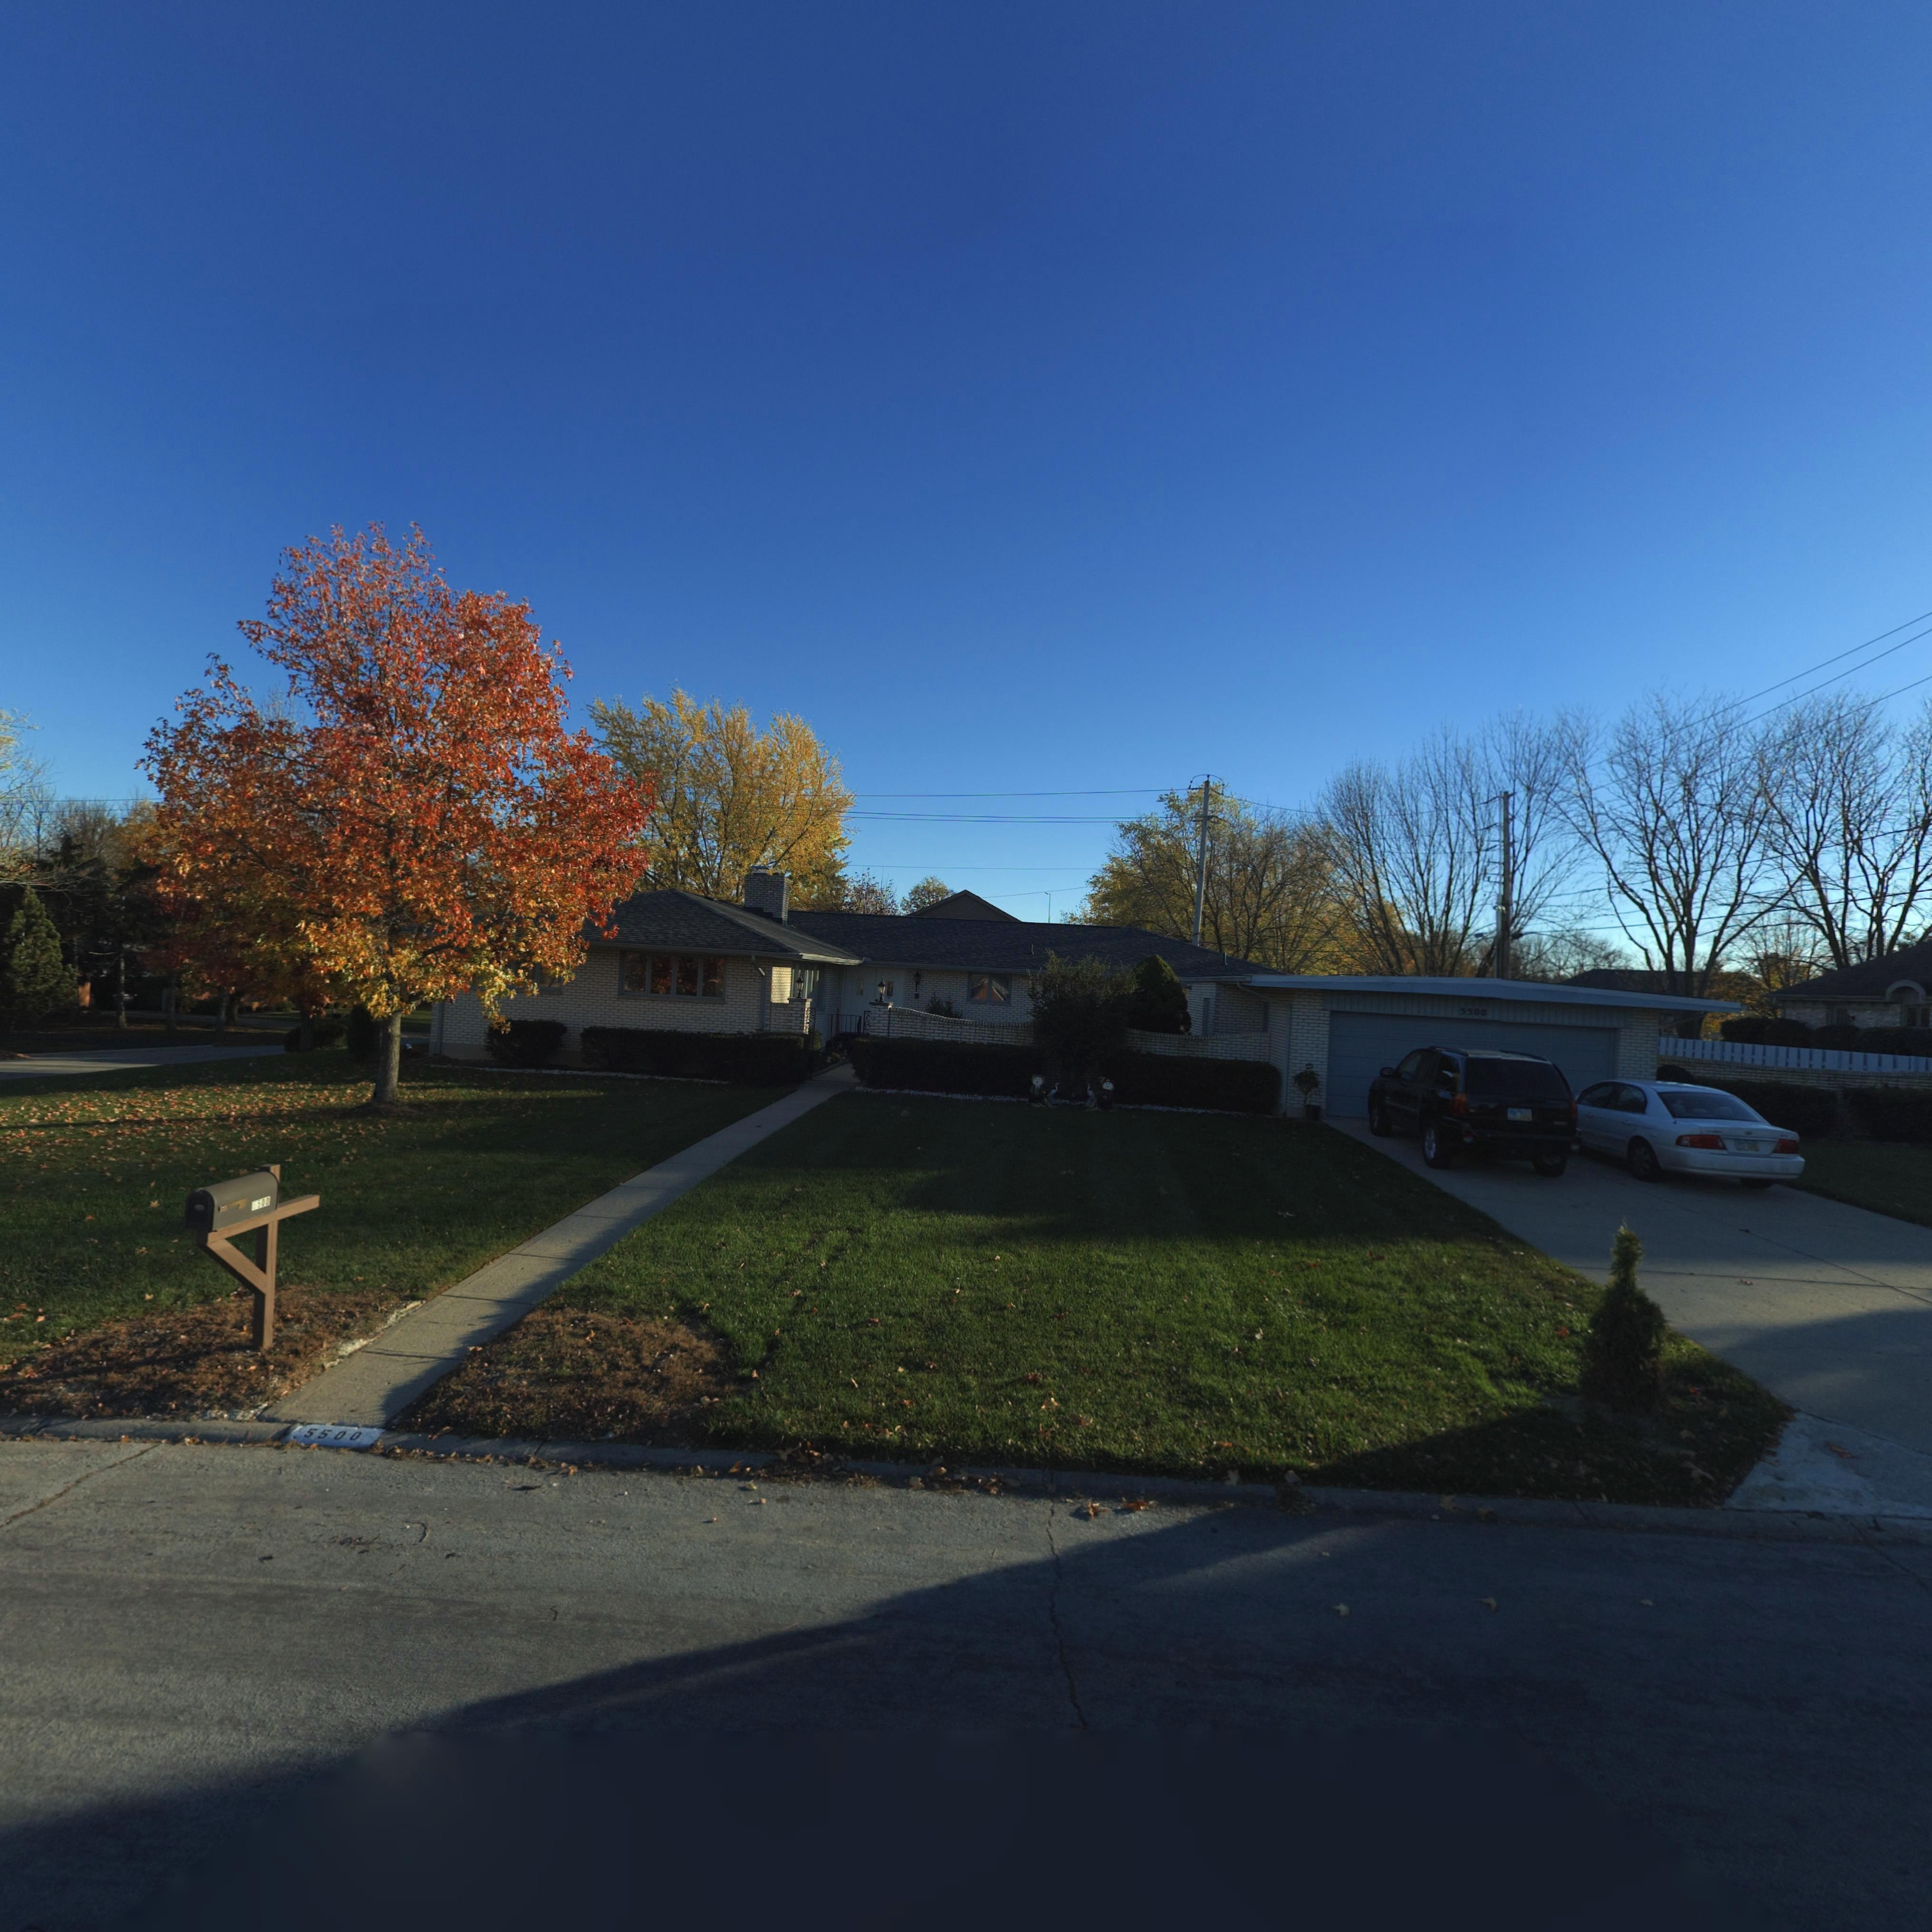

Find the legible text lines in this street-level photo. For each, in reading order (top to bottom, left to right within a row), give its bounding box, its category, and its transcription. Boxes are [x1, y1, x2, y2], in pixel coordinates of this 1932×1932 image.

[1459, 1006, 1488, 1017] StreetNumber: 5500
[257, 1195, 271, 1210] StreetNumber: 500
[302, 1427, 363, 1442] StreetNumber: 5500